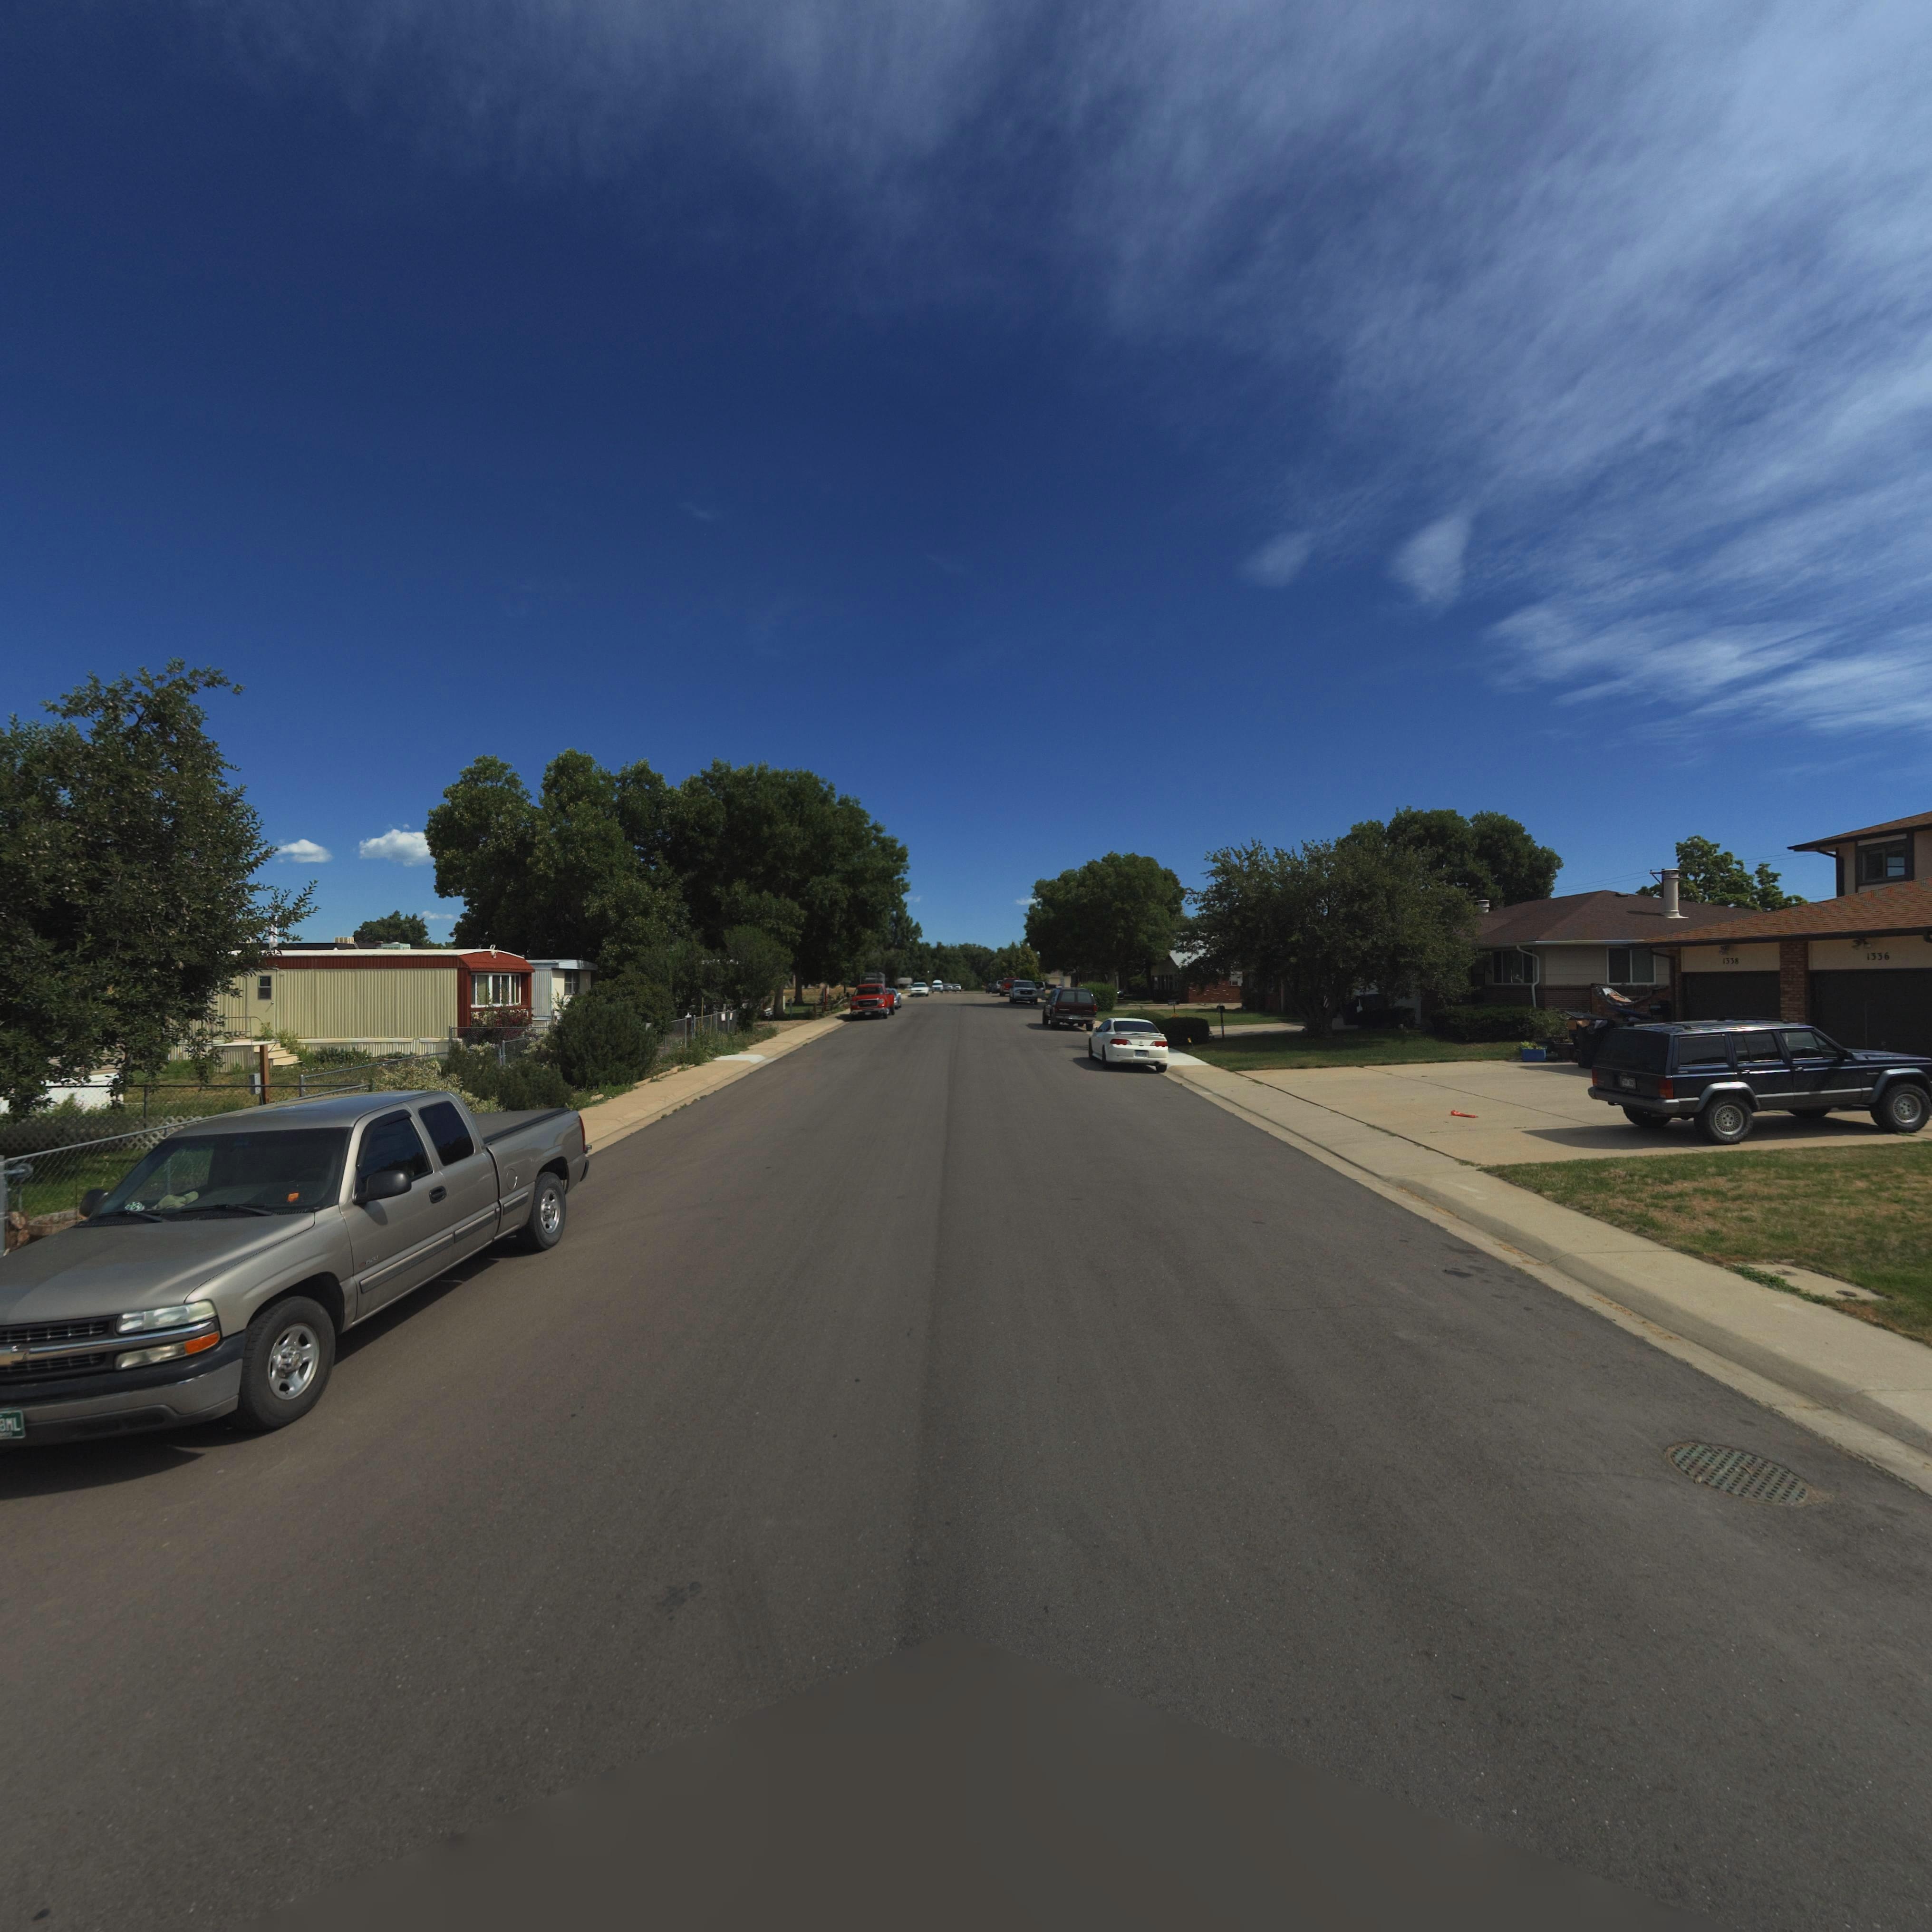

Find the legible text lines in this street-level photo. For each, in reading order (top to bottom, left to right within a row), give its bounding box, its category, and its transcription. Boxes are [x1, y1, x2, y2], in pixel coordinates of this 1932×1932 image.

[1866, 951, 1890, 961] StreetNumber: 1336
[1722, 957, 1739, 965] StreetNumber: 1338